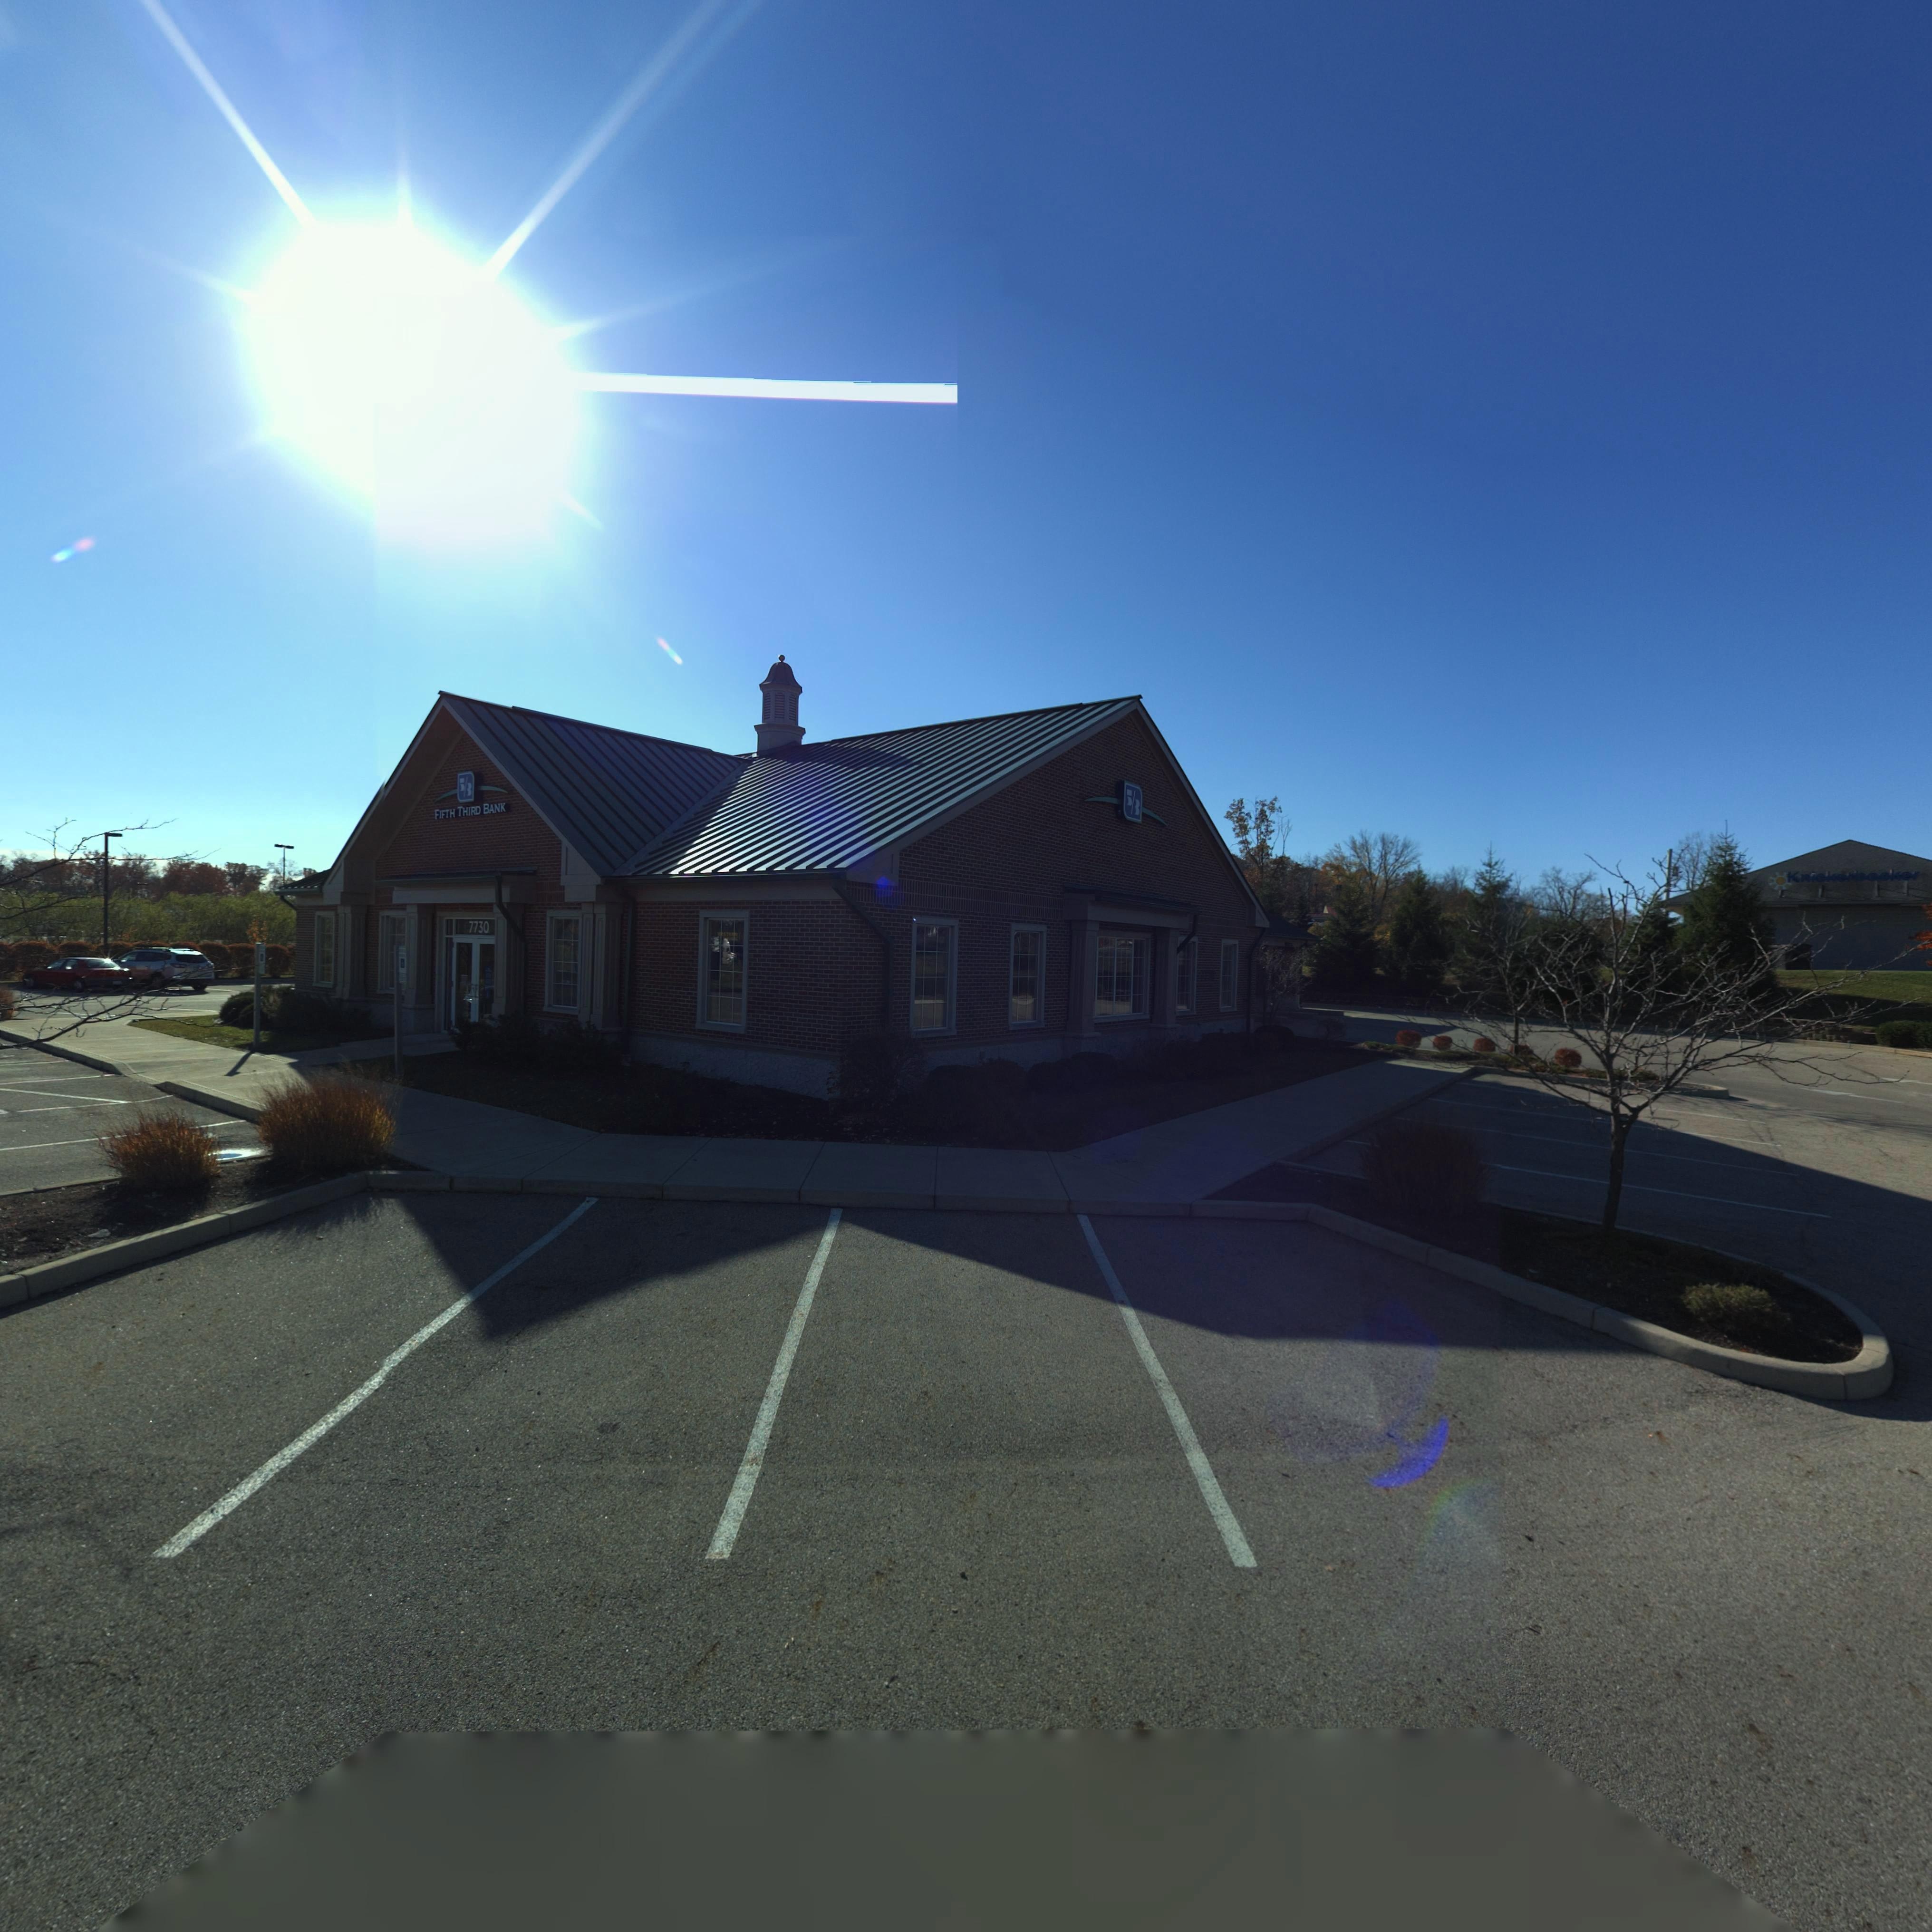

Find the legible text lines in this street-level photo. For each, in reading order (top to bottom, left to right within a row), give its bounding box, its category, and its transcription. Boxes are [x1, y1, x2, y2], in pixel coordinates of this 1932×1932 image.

[434, 802, 507, 821] BusinessName: FIFTH THIRD BANK
[468, 920, 490, 935] StreetNumber: 7730